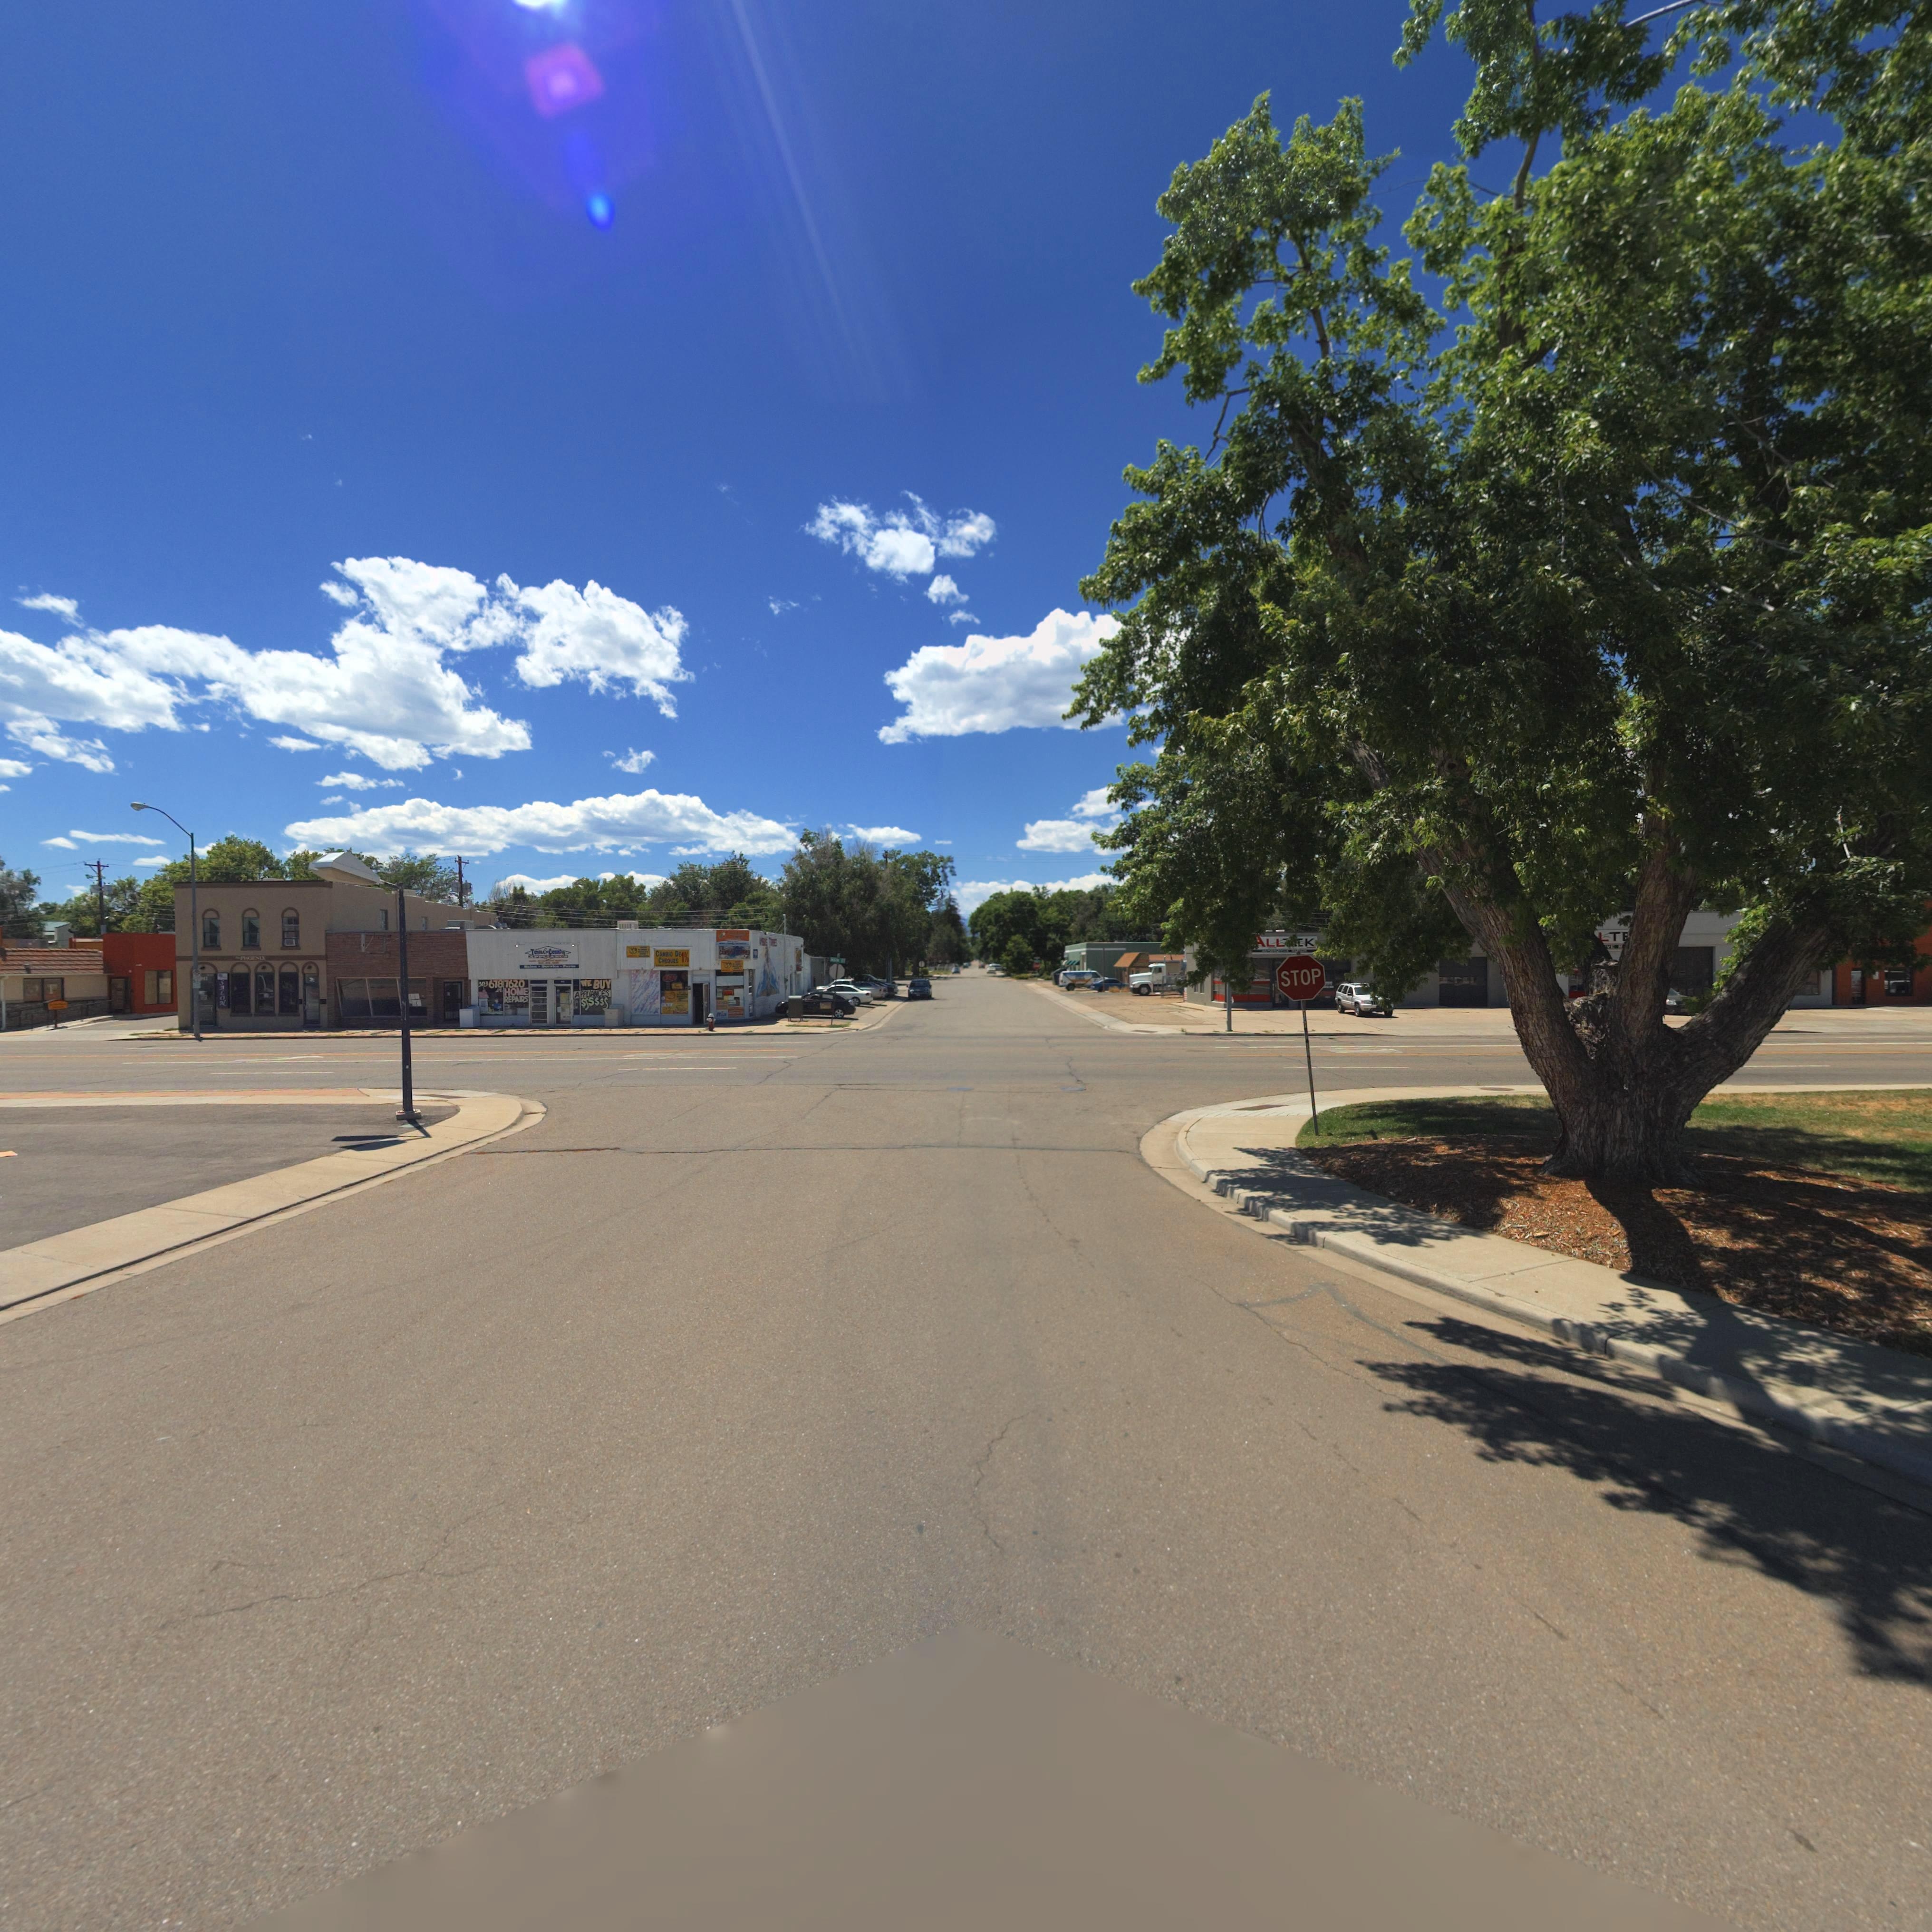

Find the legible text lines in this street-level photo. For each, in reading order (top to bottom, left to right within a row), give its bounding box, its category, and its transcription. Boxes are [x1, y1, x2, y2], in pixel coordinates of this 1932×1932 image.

[1598, 931, 1621, 942] BusinessName: LT
[759, 937, 778, 947] BusinessName: ******S T*****S
[1266, 937, 1315, 947] BusinessName: LL**K
[530, 947, 565, 956] BusinessName: To*n & Co****y
[719, 949, 750, 955] BusinessName: C****** ******S
[240, 955, 267, 960] BusinessName: P***NIX
[830, 957, 845, 963] StreetName: *A** ST
[202, 976, 208, 980] StreetNumber: 41